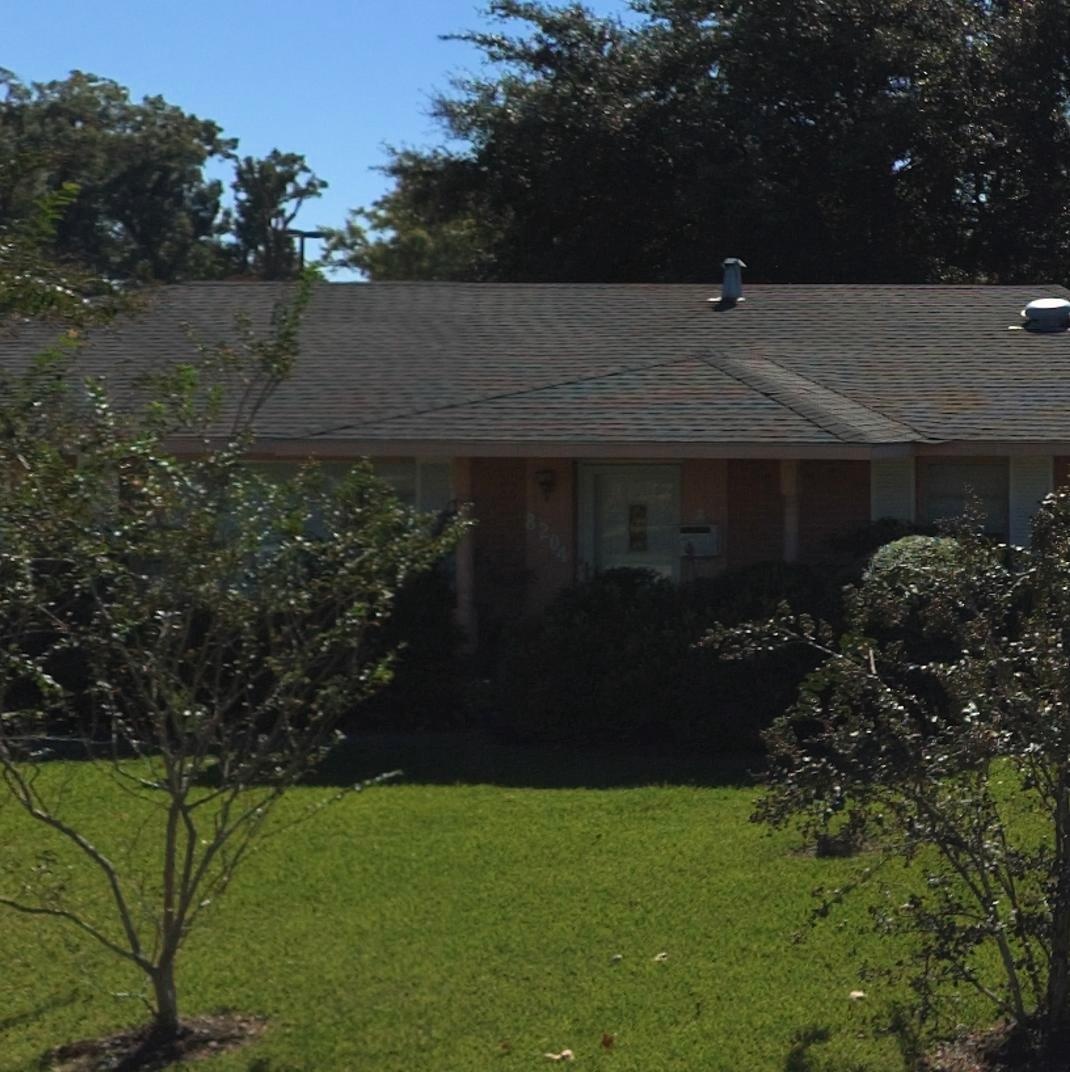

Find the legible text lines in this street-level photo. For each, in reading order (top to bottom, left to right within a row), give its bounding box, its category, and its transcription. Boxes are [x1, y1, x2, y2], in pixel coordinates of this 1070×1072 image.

[522, 510, 572, 567] StreetNumber: 8204